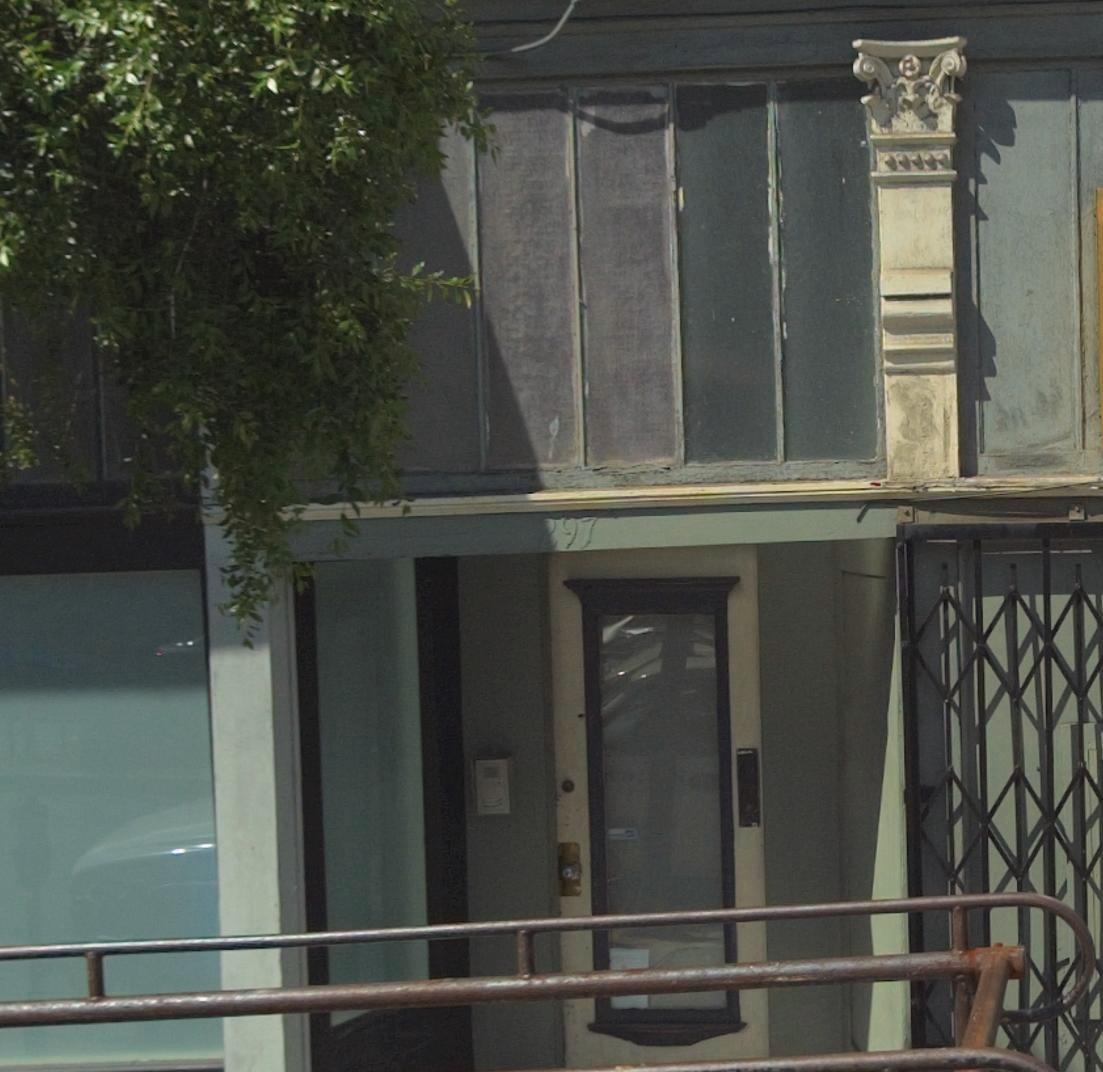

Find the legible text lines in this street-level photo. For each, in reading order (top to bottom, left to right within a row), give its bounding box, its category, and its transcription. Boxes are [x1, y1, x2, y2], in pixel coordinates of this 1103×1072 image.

[531, 513, 600, 550] StreetNumber: 297